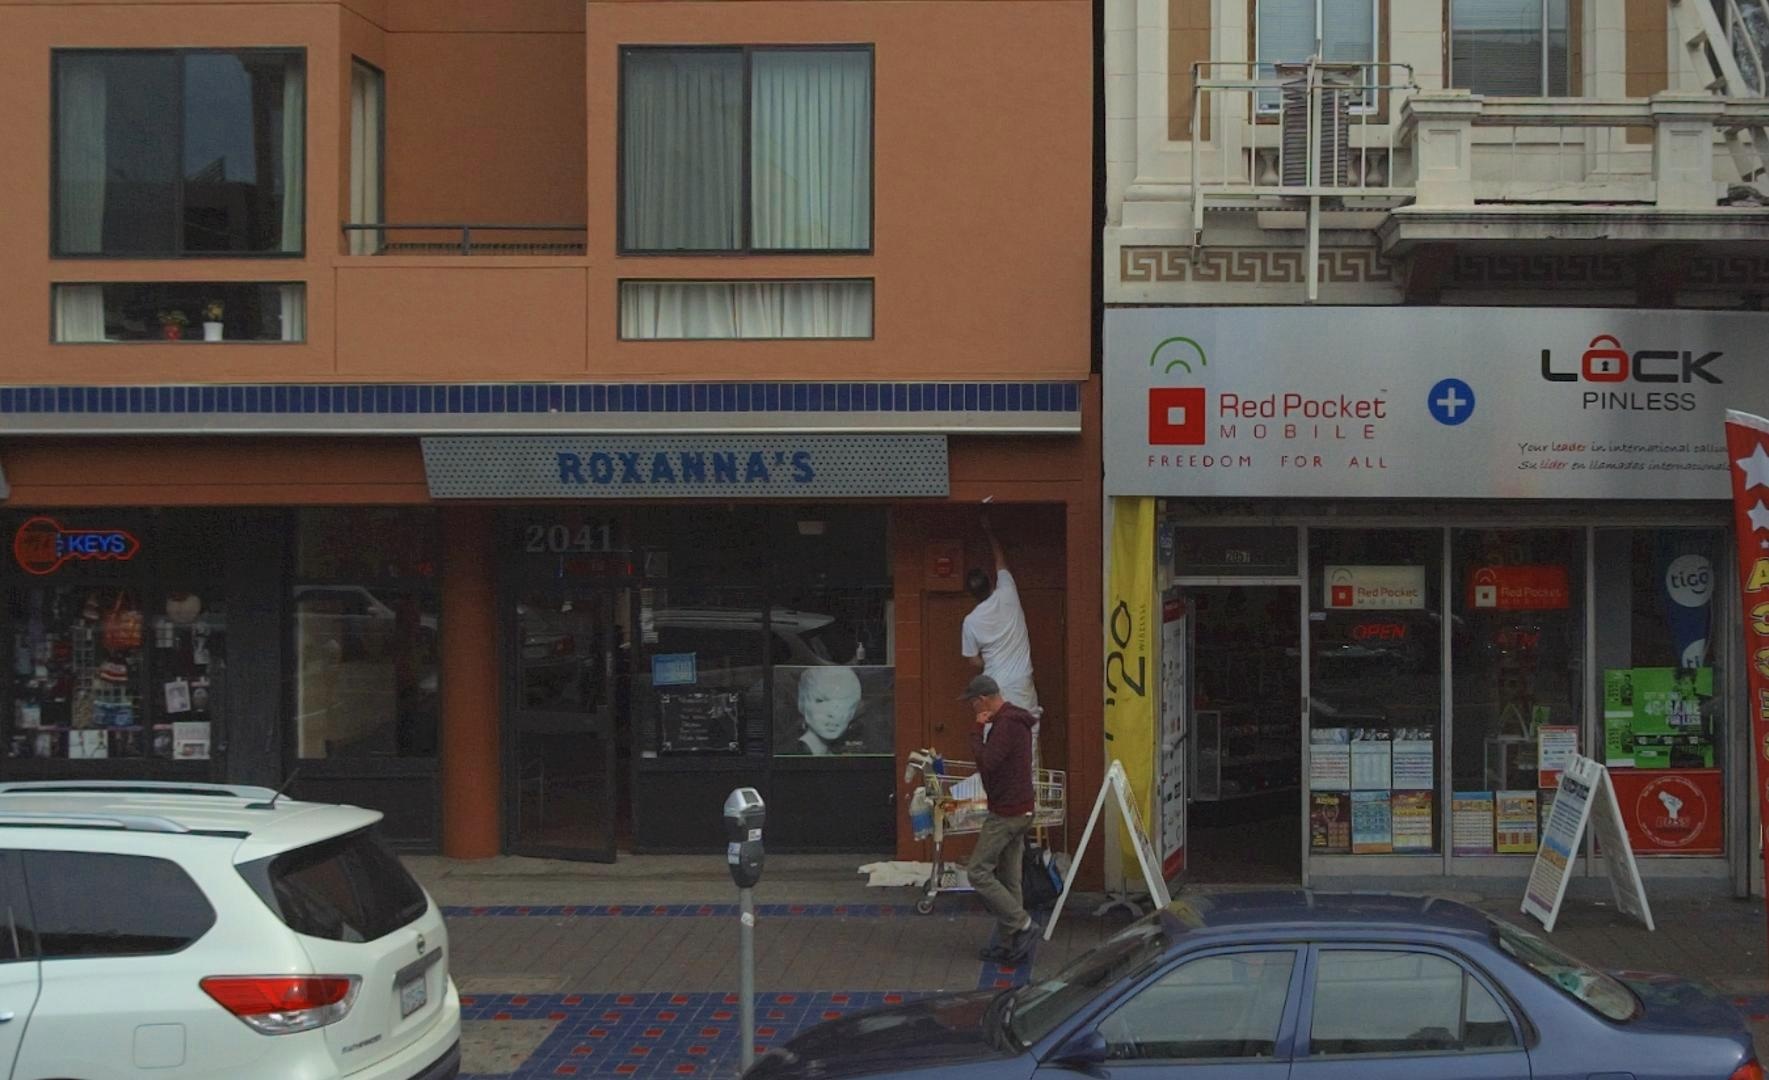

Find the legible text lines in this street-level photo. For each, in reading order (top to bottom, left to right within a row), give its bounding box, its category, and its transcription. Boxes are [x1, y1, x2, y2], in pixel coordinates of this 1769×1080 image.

[1540, 346, 1725, 386] None: LOCK
[1217, 391, 1388, 420] BusinessName: Red Pocket
[1581, 390, 1696, 412] None: PINLESS
[1219, 423, 1375, 441] BusinessName: MOBILE
[555, 450, 816, 486] BusinessName: ROXANNA'S
[1147, 453, 1388, 469] None: FREEDOM FOR ALL
[67, 533, 126, 554] None: KEYS
[525, 523, 615, 554] StreetNumber: 2041
[1225, 549, 1251, 563] StreetNumber: 2057
[1669, 570, 1710, 590] None: tiGO
[1356, 586, 1419, 598] None: RED Pocket
[1499, 586, 1563, 598] None: Red Pocket
[1351, 623, 1407, 641] None: OPEN
[1491, 631, 1541, 649] None: ATM